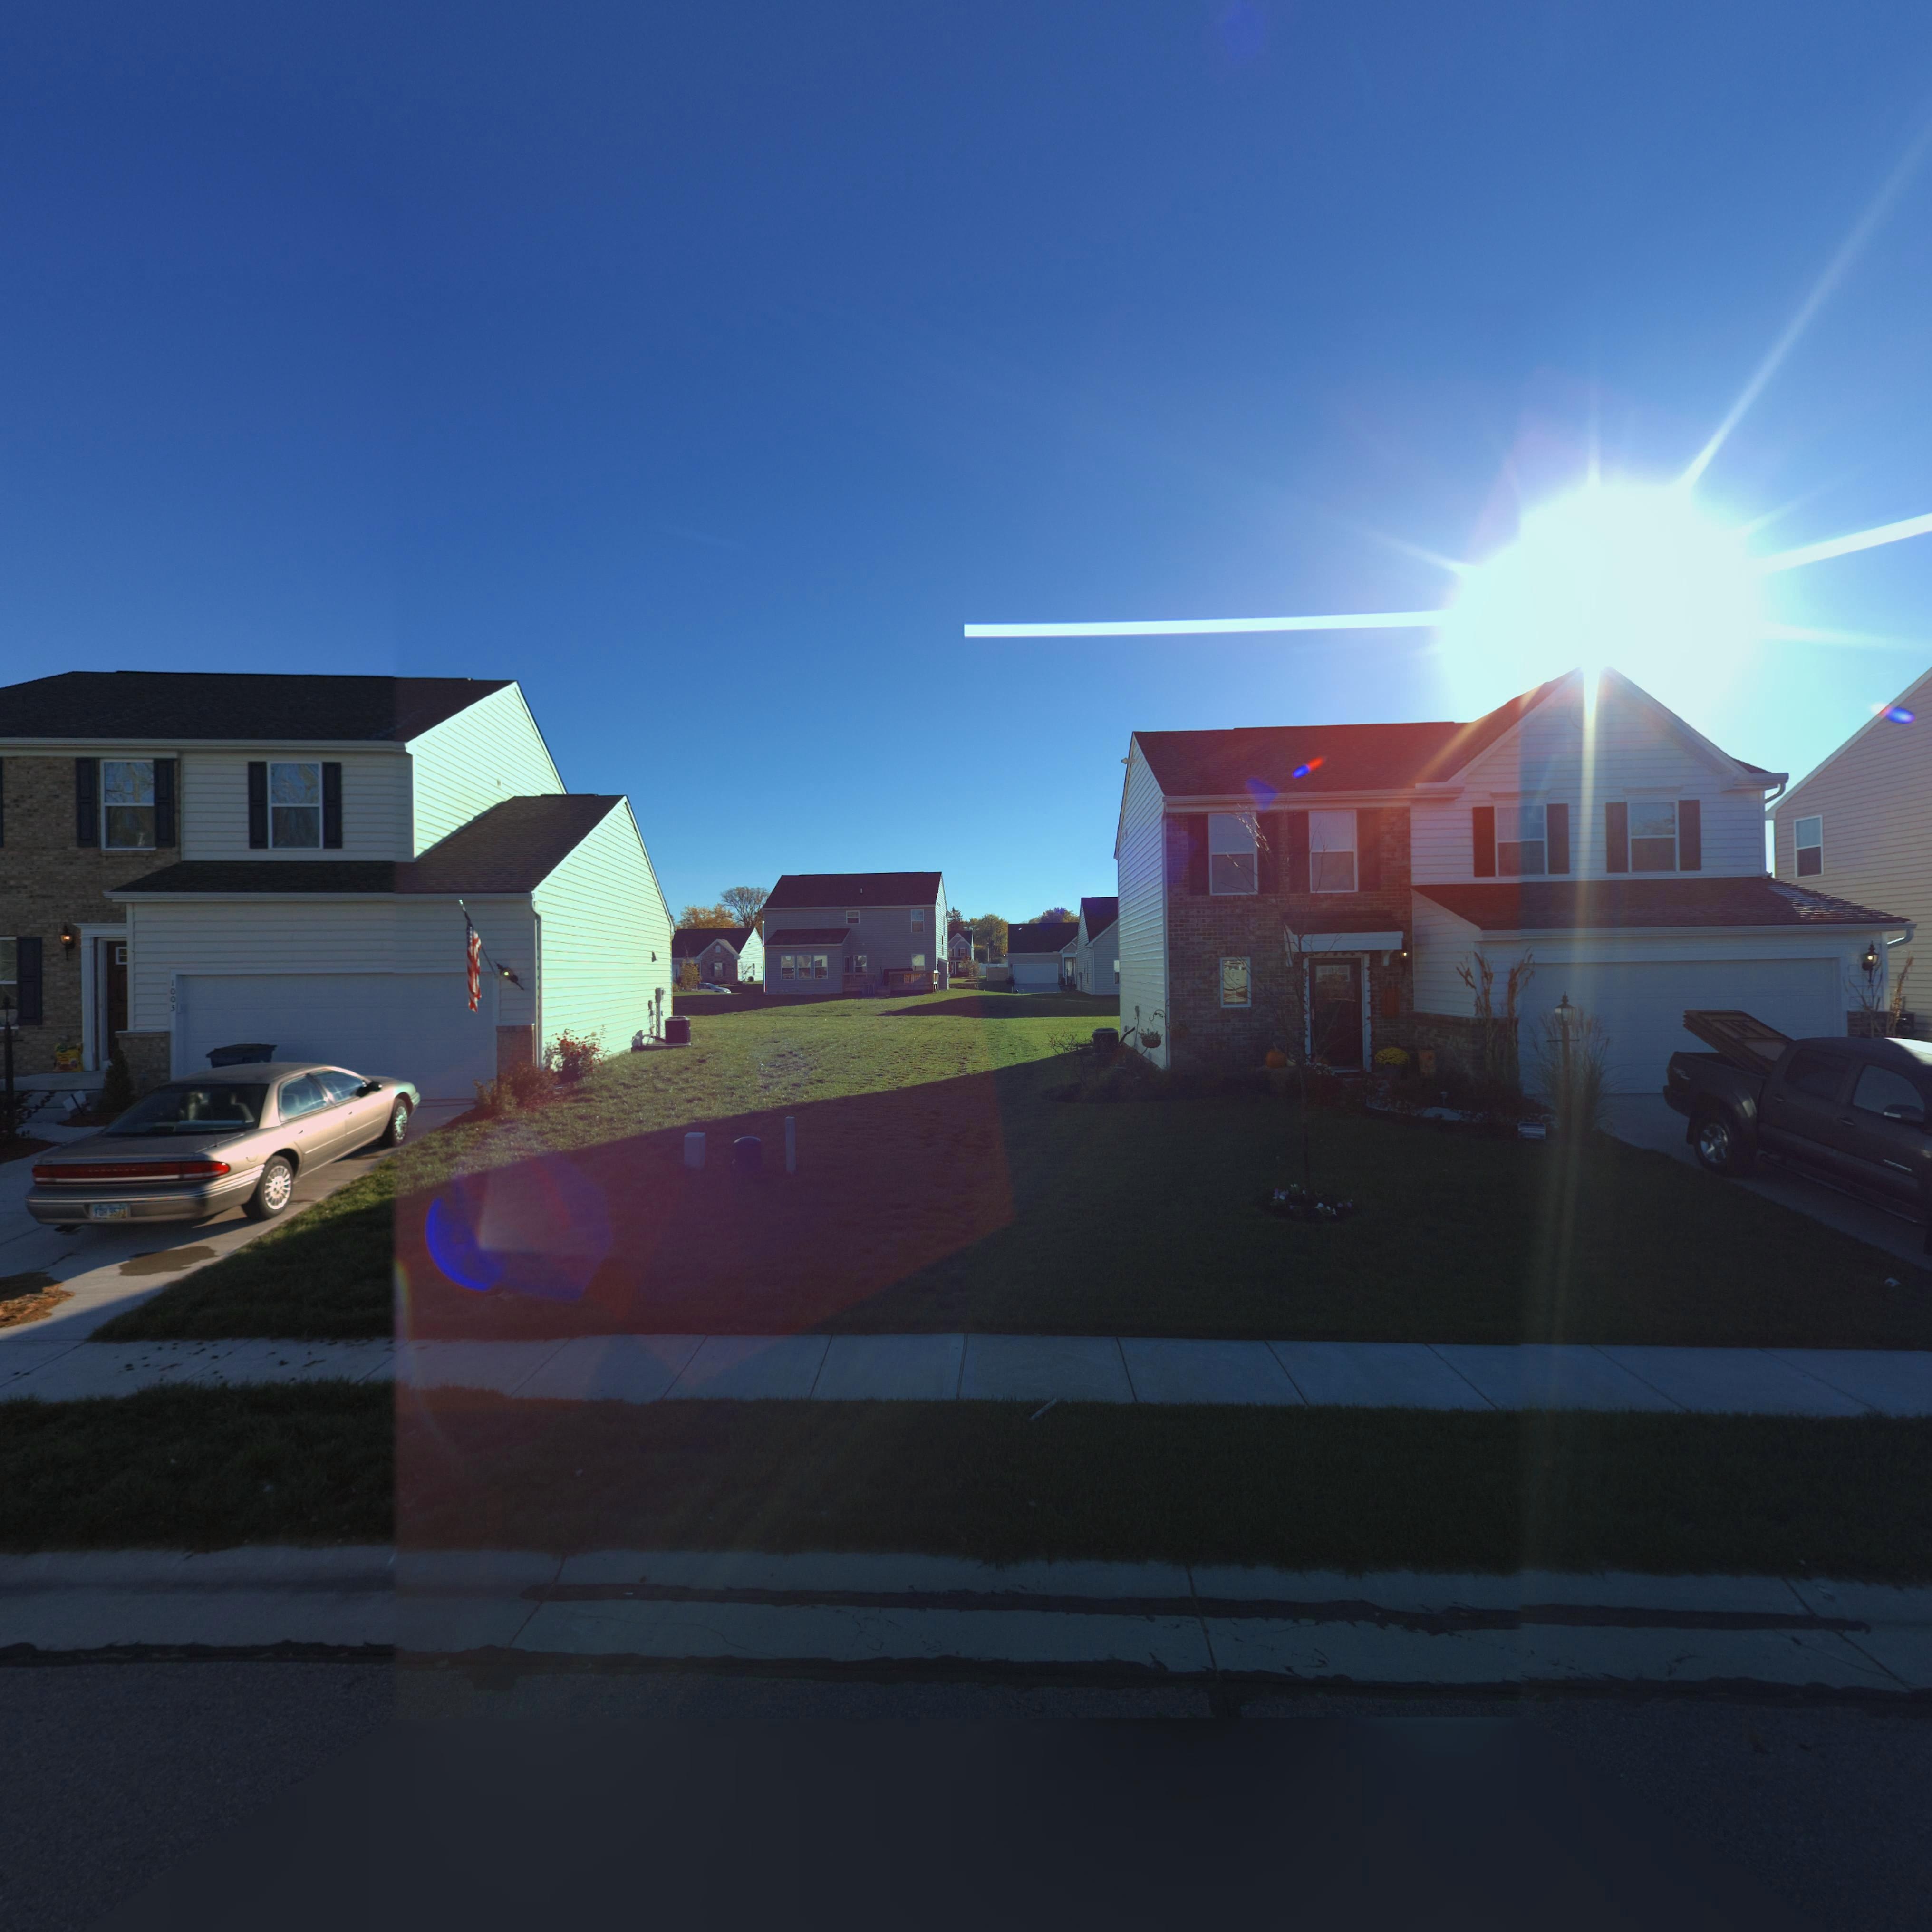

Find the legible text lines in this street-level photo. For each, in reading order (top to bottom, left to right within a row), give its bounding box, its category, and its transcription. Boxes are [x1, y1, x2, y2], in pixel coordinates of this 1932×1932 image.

[169, 979, 177, 1012] StreetNumber: 1003